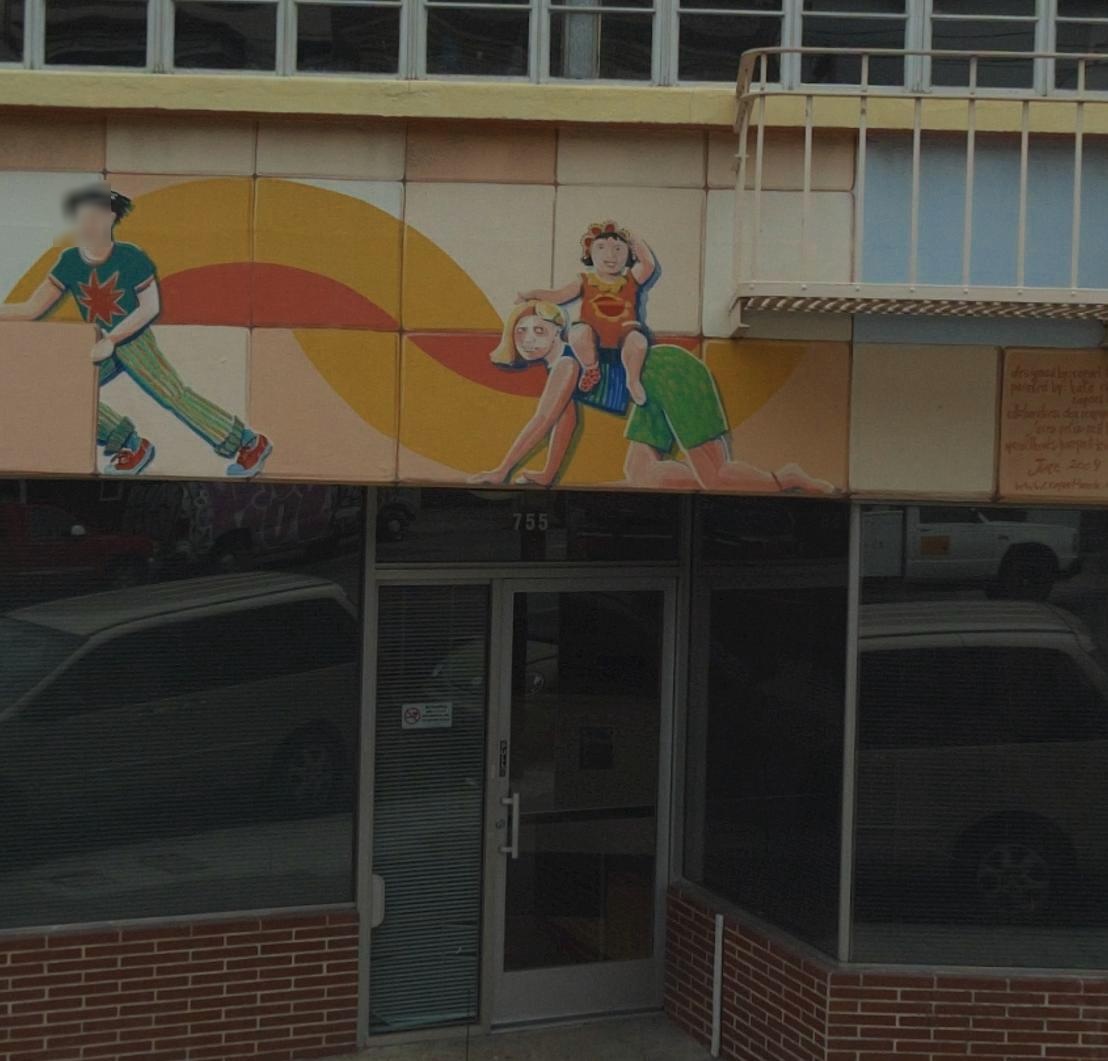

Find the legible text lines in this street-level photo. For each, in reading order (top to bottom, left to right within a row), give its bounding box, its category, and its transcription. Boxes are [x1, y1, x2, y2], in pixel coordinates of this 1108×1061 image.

[1025, 455, 1105, 478] None: June 2004
[512, 511, 550, 532] StreetNumber: 755
[500, 740, 507, 771] None: PULL